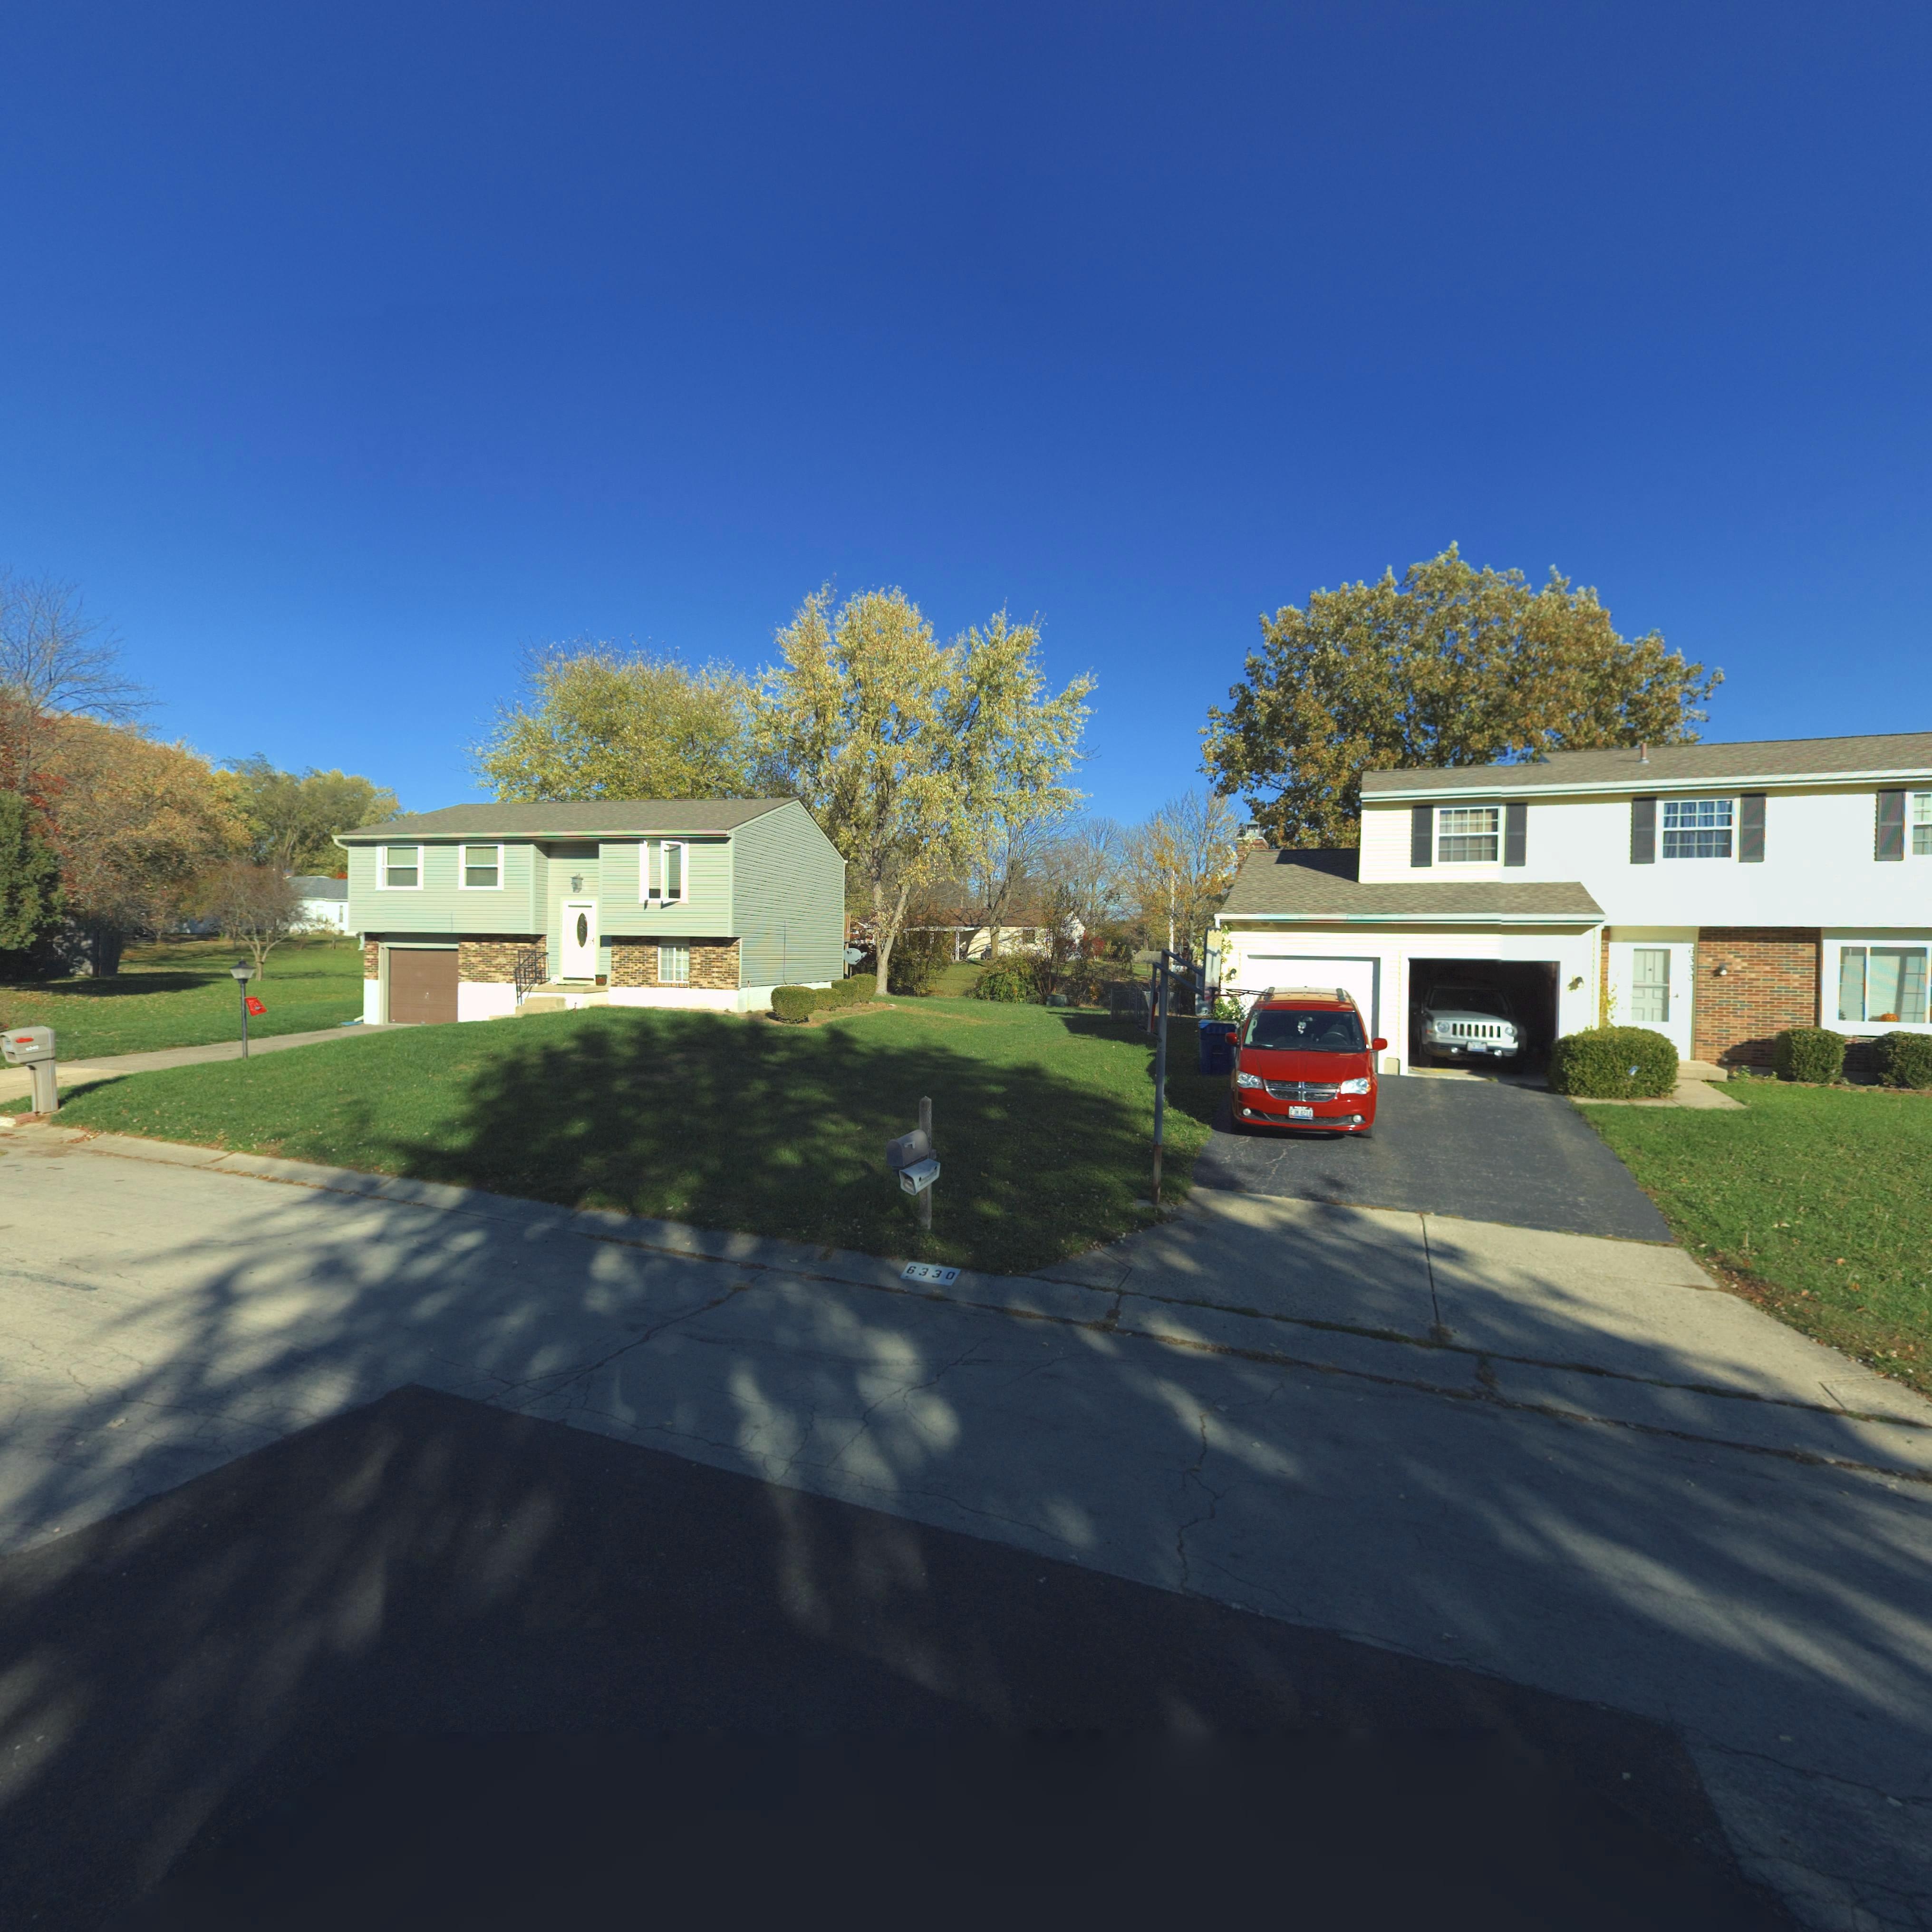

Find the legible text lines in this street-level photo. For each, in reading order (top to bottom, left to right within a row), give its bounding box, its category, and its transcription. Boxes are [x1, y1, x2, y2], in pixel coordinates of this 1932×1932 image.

[1686, 945, 1696, 983] StreetNumber: 6***
[905, 1265, 957, 1281] StreetNumber: 6330